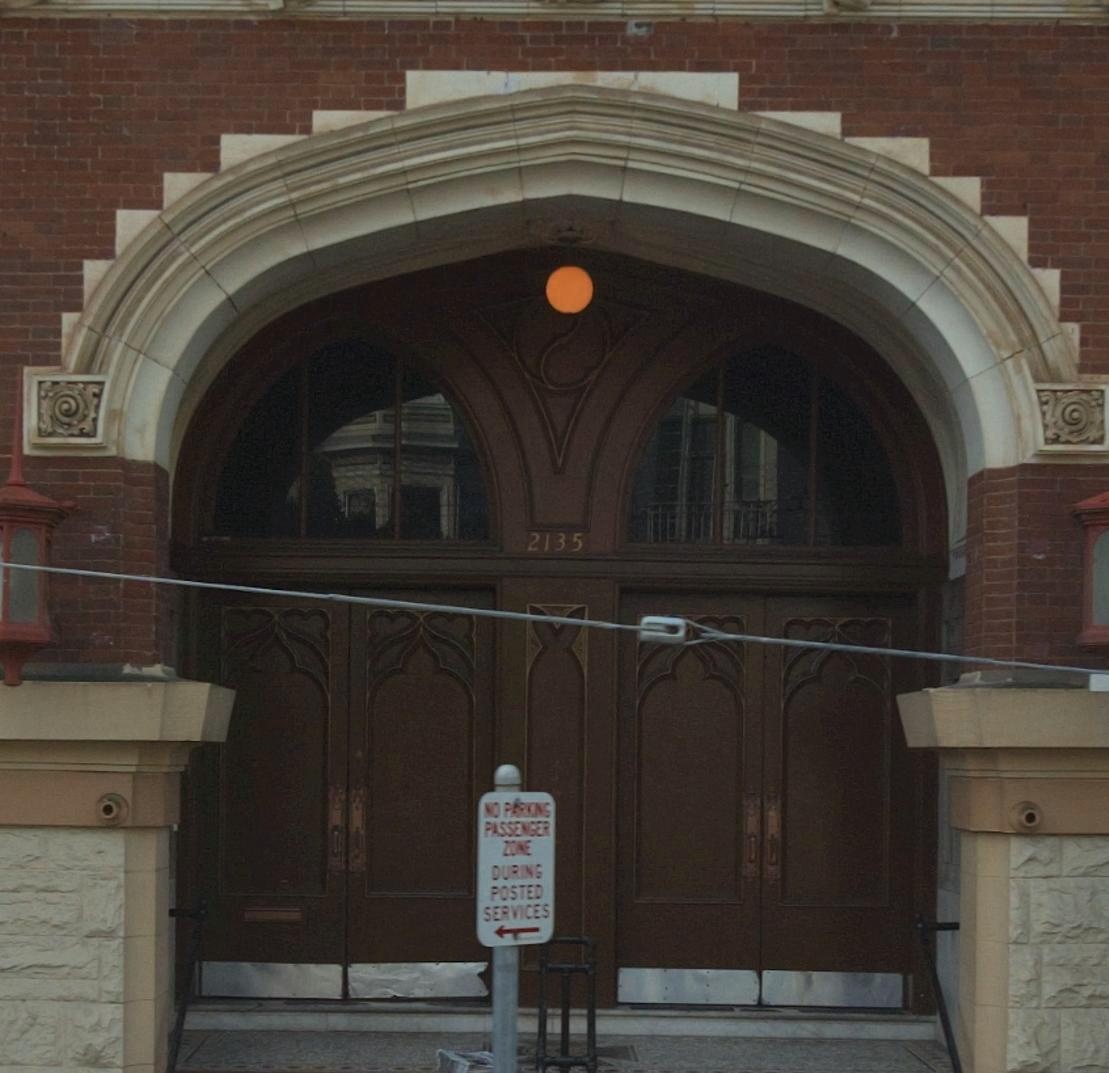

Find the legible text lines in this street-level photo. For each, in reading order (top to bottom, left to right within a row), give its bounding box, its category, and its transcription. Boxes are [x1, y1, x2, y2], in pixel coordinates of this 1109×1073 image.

[525, 529, 585, 554] StreetNumber: 2135
[481, 799, 553, 820] None: NO PARKING
[482, 819, 553, 839] None: PASSENGER
[500, 838, 535, 858] None: ZONE
[488, 861, 545, 883] None: DURING
[487, 882, 546, 904] None: POSTED
[480, 902, 552, 924] None: SERVICES